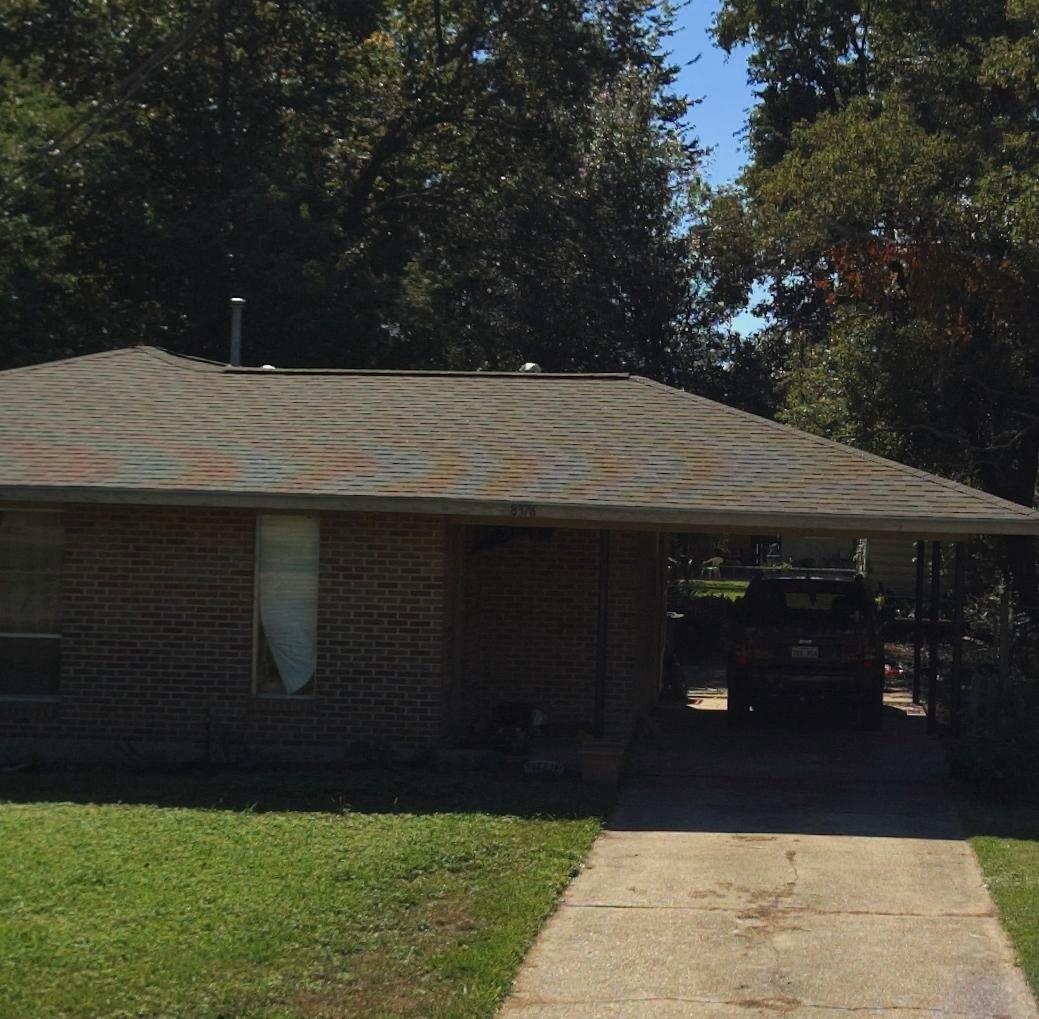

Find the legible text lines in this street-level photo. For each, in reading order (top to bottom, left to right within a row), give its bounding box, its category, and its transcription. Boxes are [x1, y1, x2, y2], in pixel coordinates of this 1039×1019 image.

[509, 502, 538, 519] StreetNumber: 8376